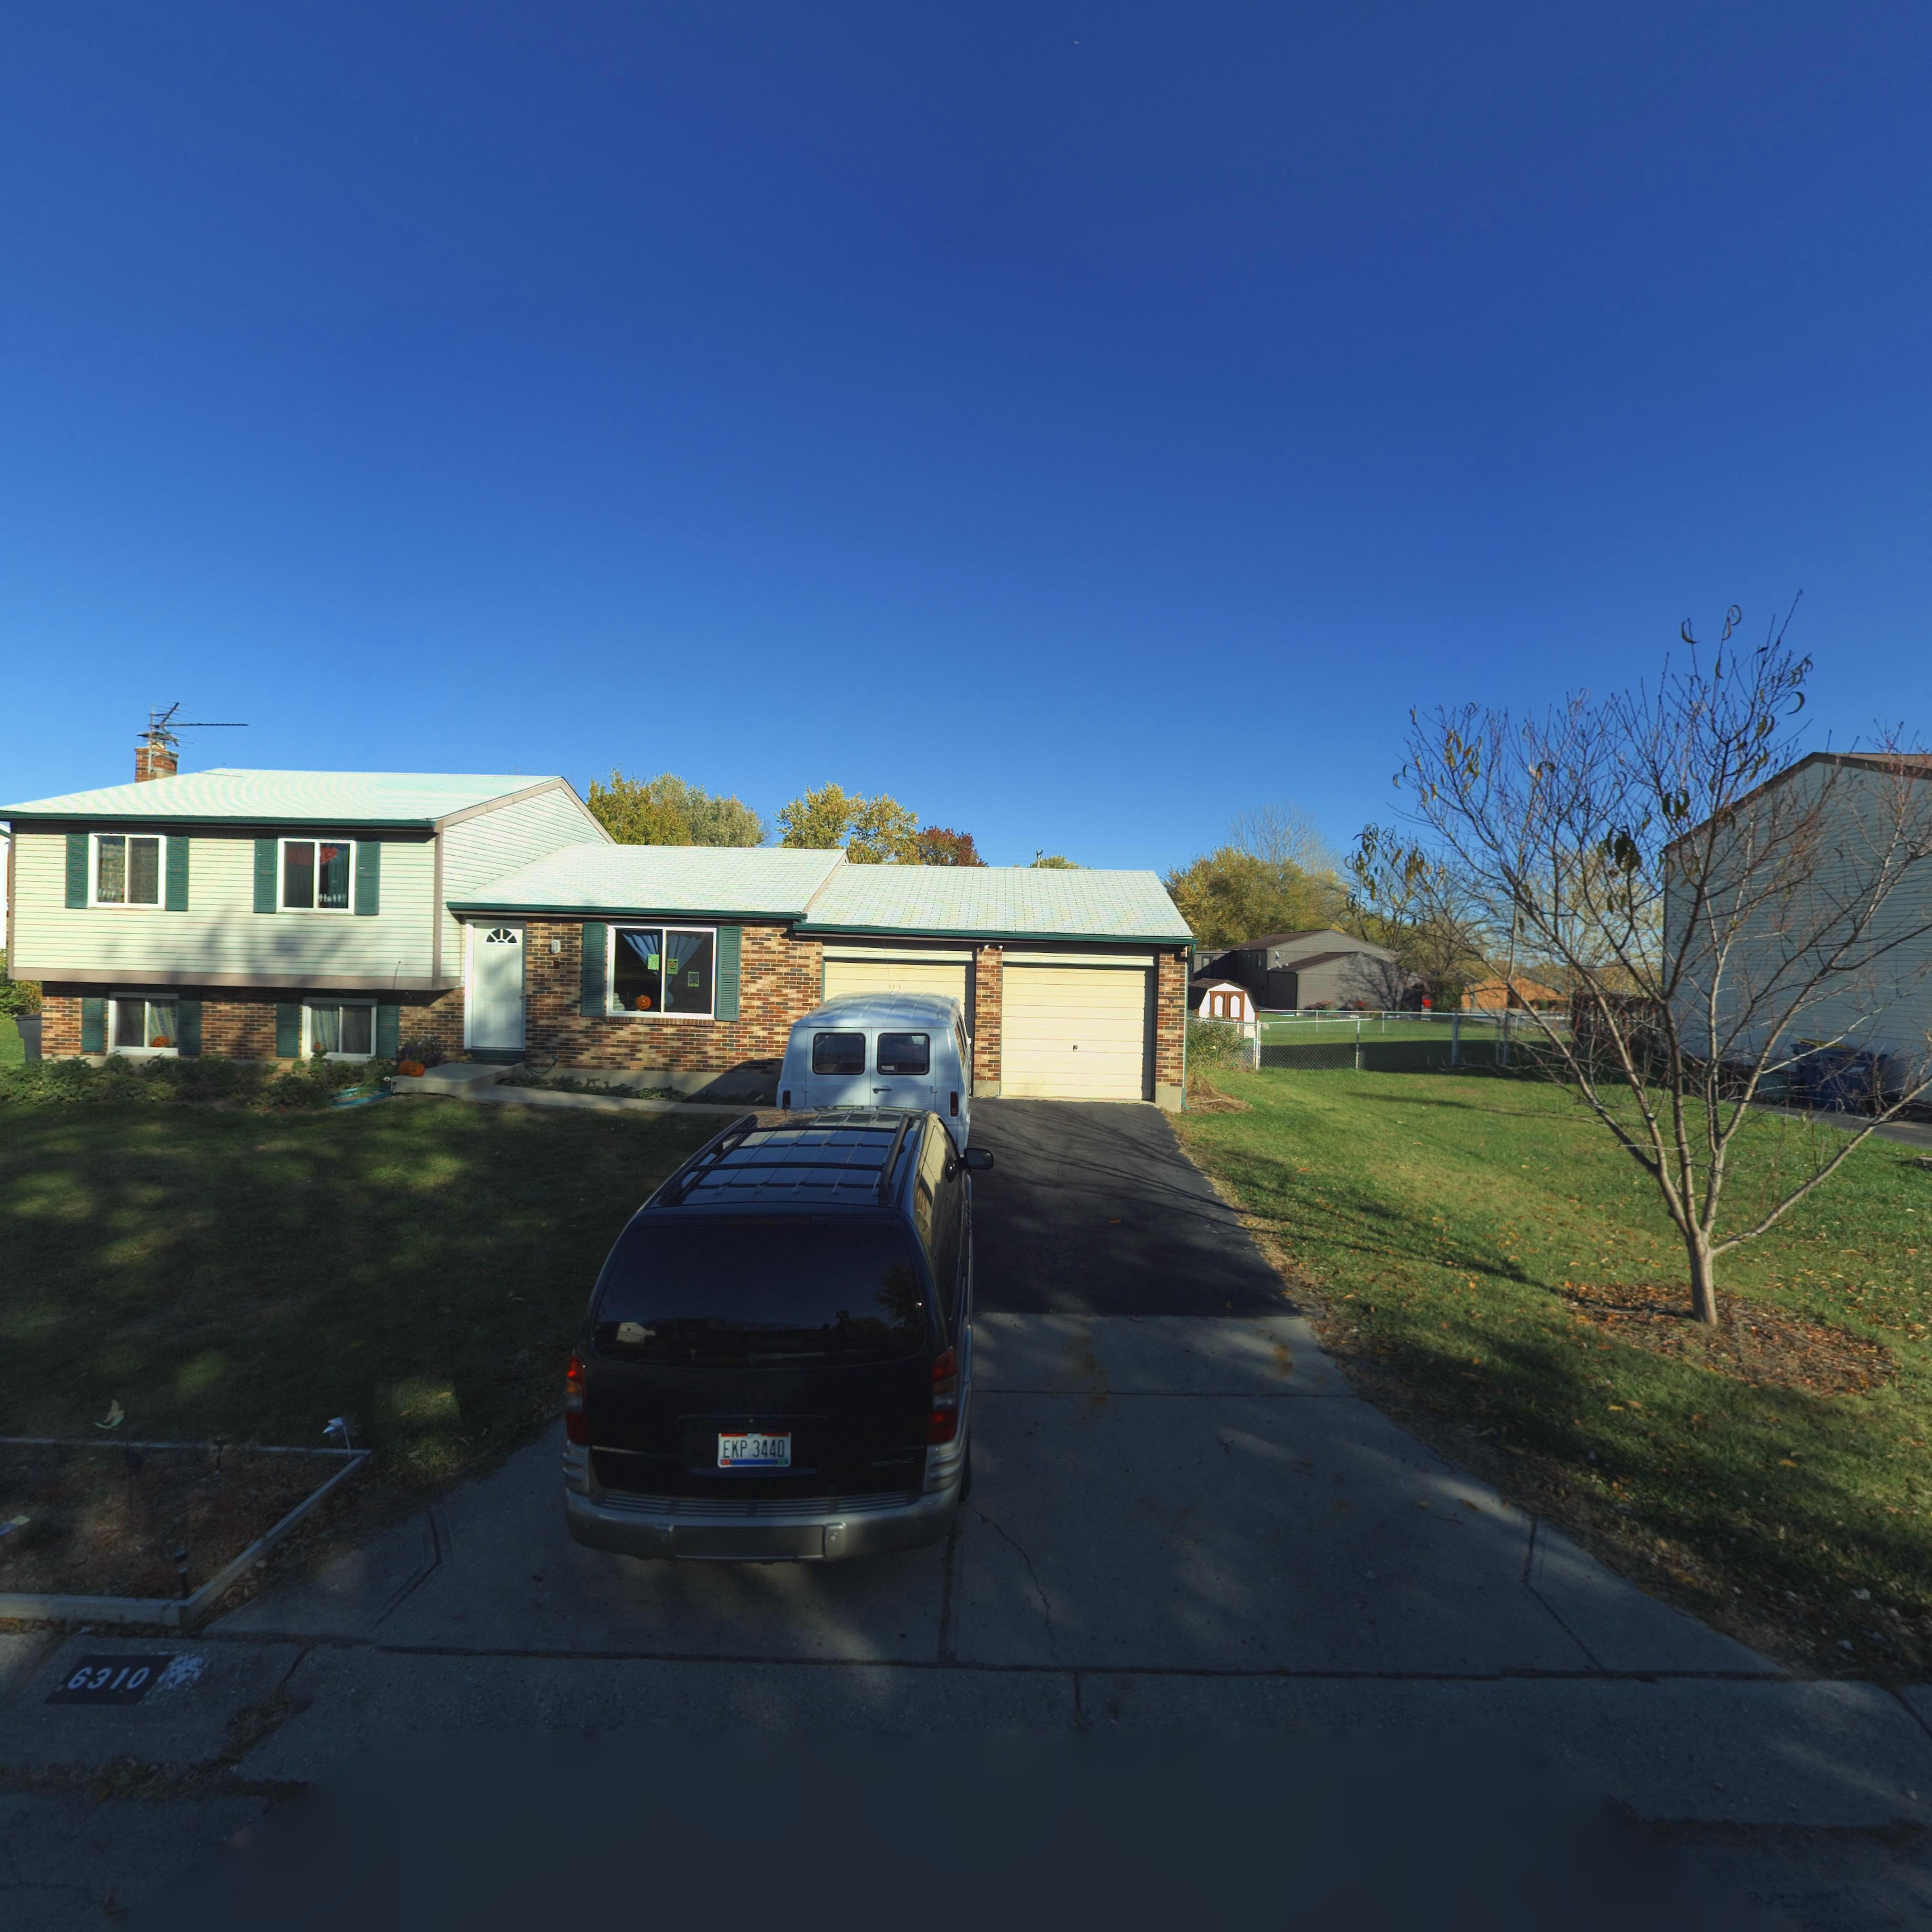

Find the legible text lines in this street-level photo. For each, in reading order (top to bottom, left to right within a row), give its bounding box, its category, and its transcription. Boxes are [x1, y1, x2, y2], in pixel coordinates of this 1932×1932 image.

[67, 1665, 152, 1691] StreetNumber: 6310